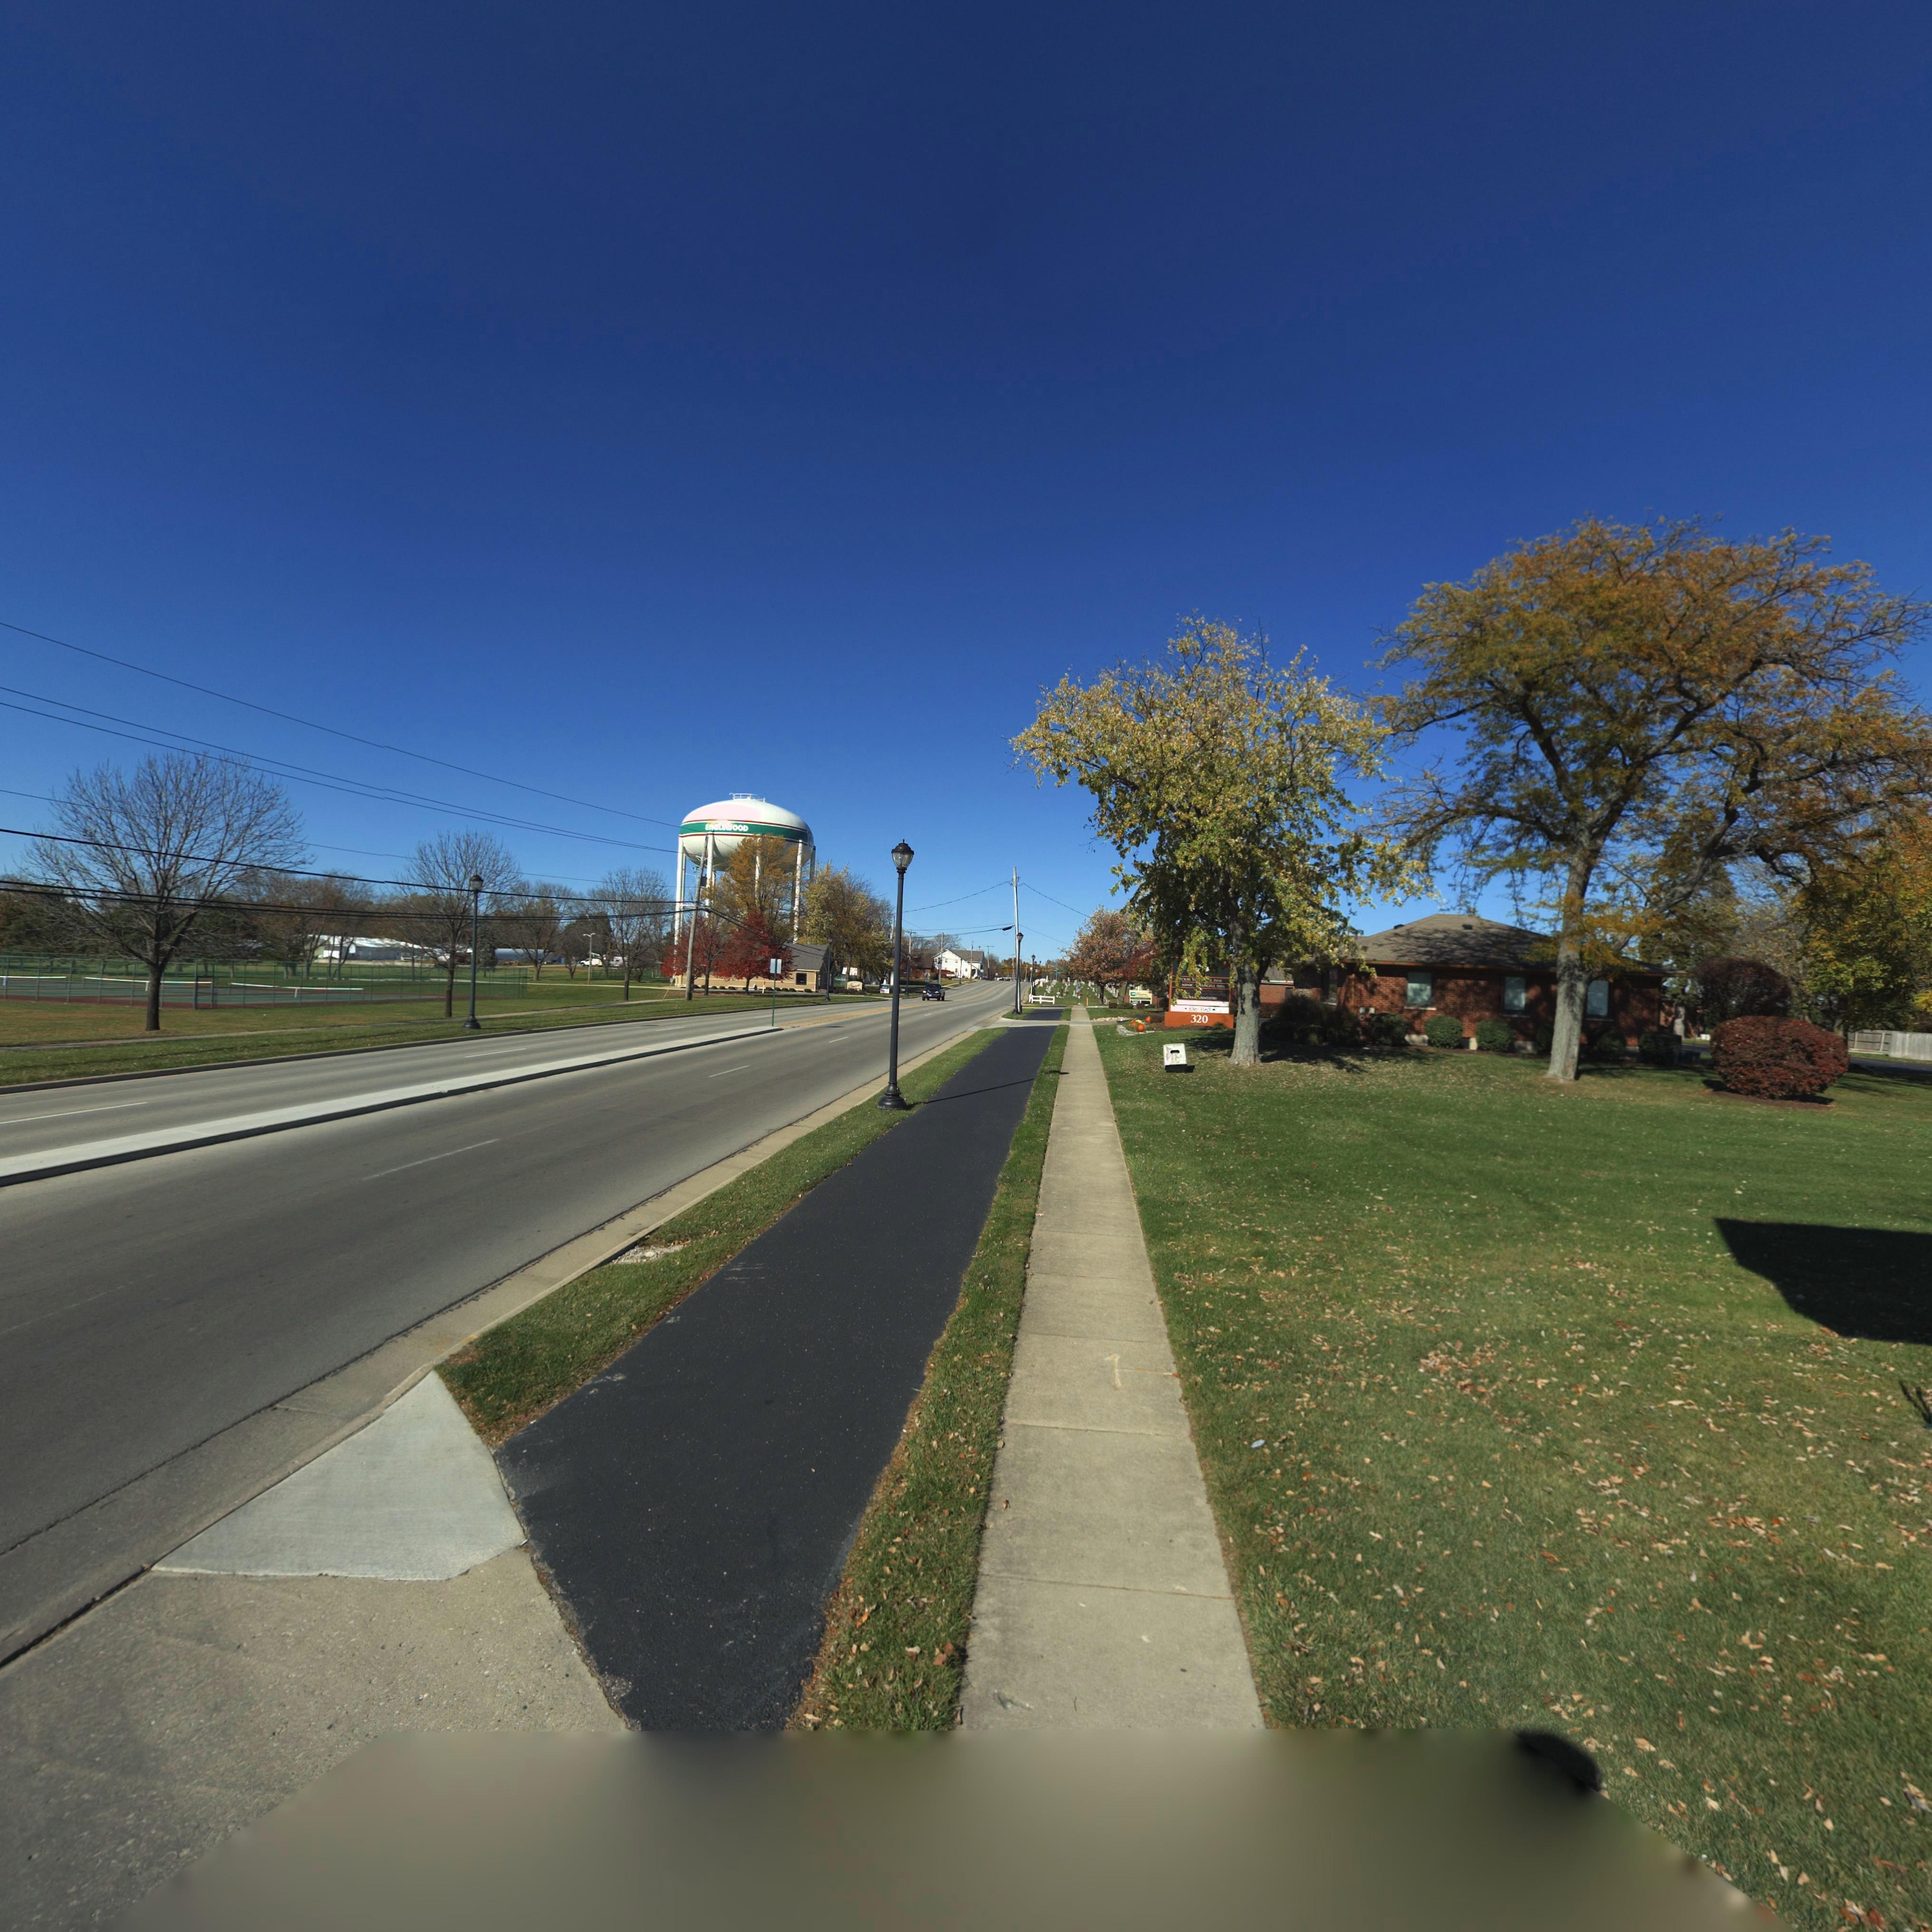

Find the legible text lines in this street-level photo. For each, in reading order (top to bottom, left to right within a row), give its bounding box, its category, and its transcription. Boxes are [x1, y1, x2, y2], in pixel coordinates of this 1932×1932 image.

[1189, 1014, 1209, 1024] StreetNumber: 320